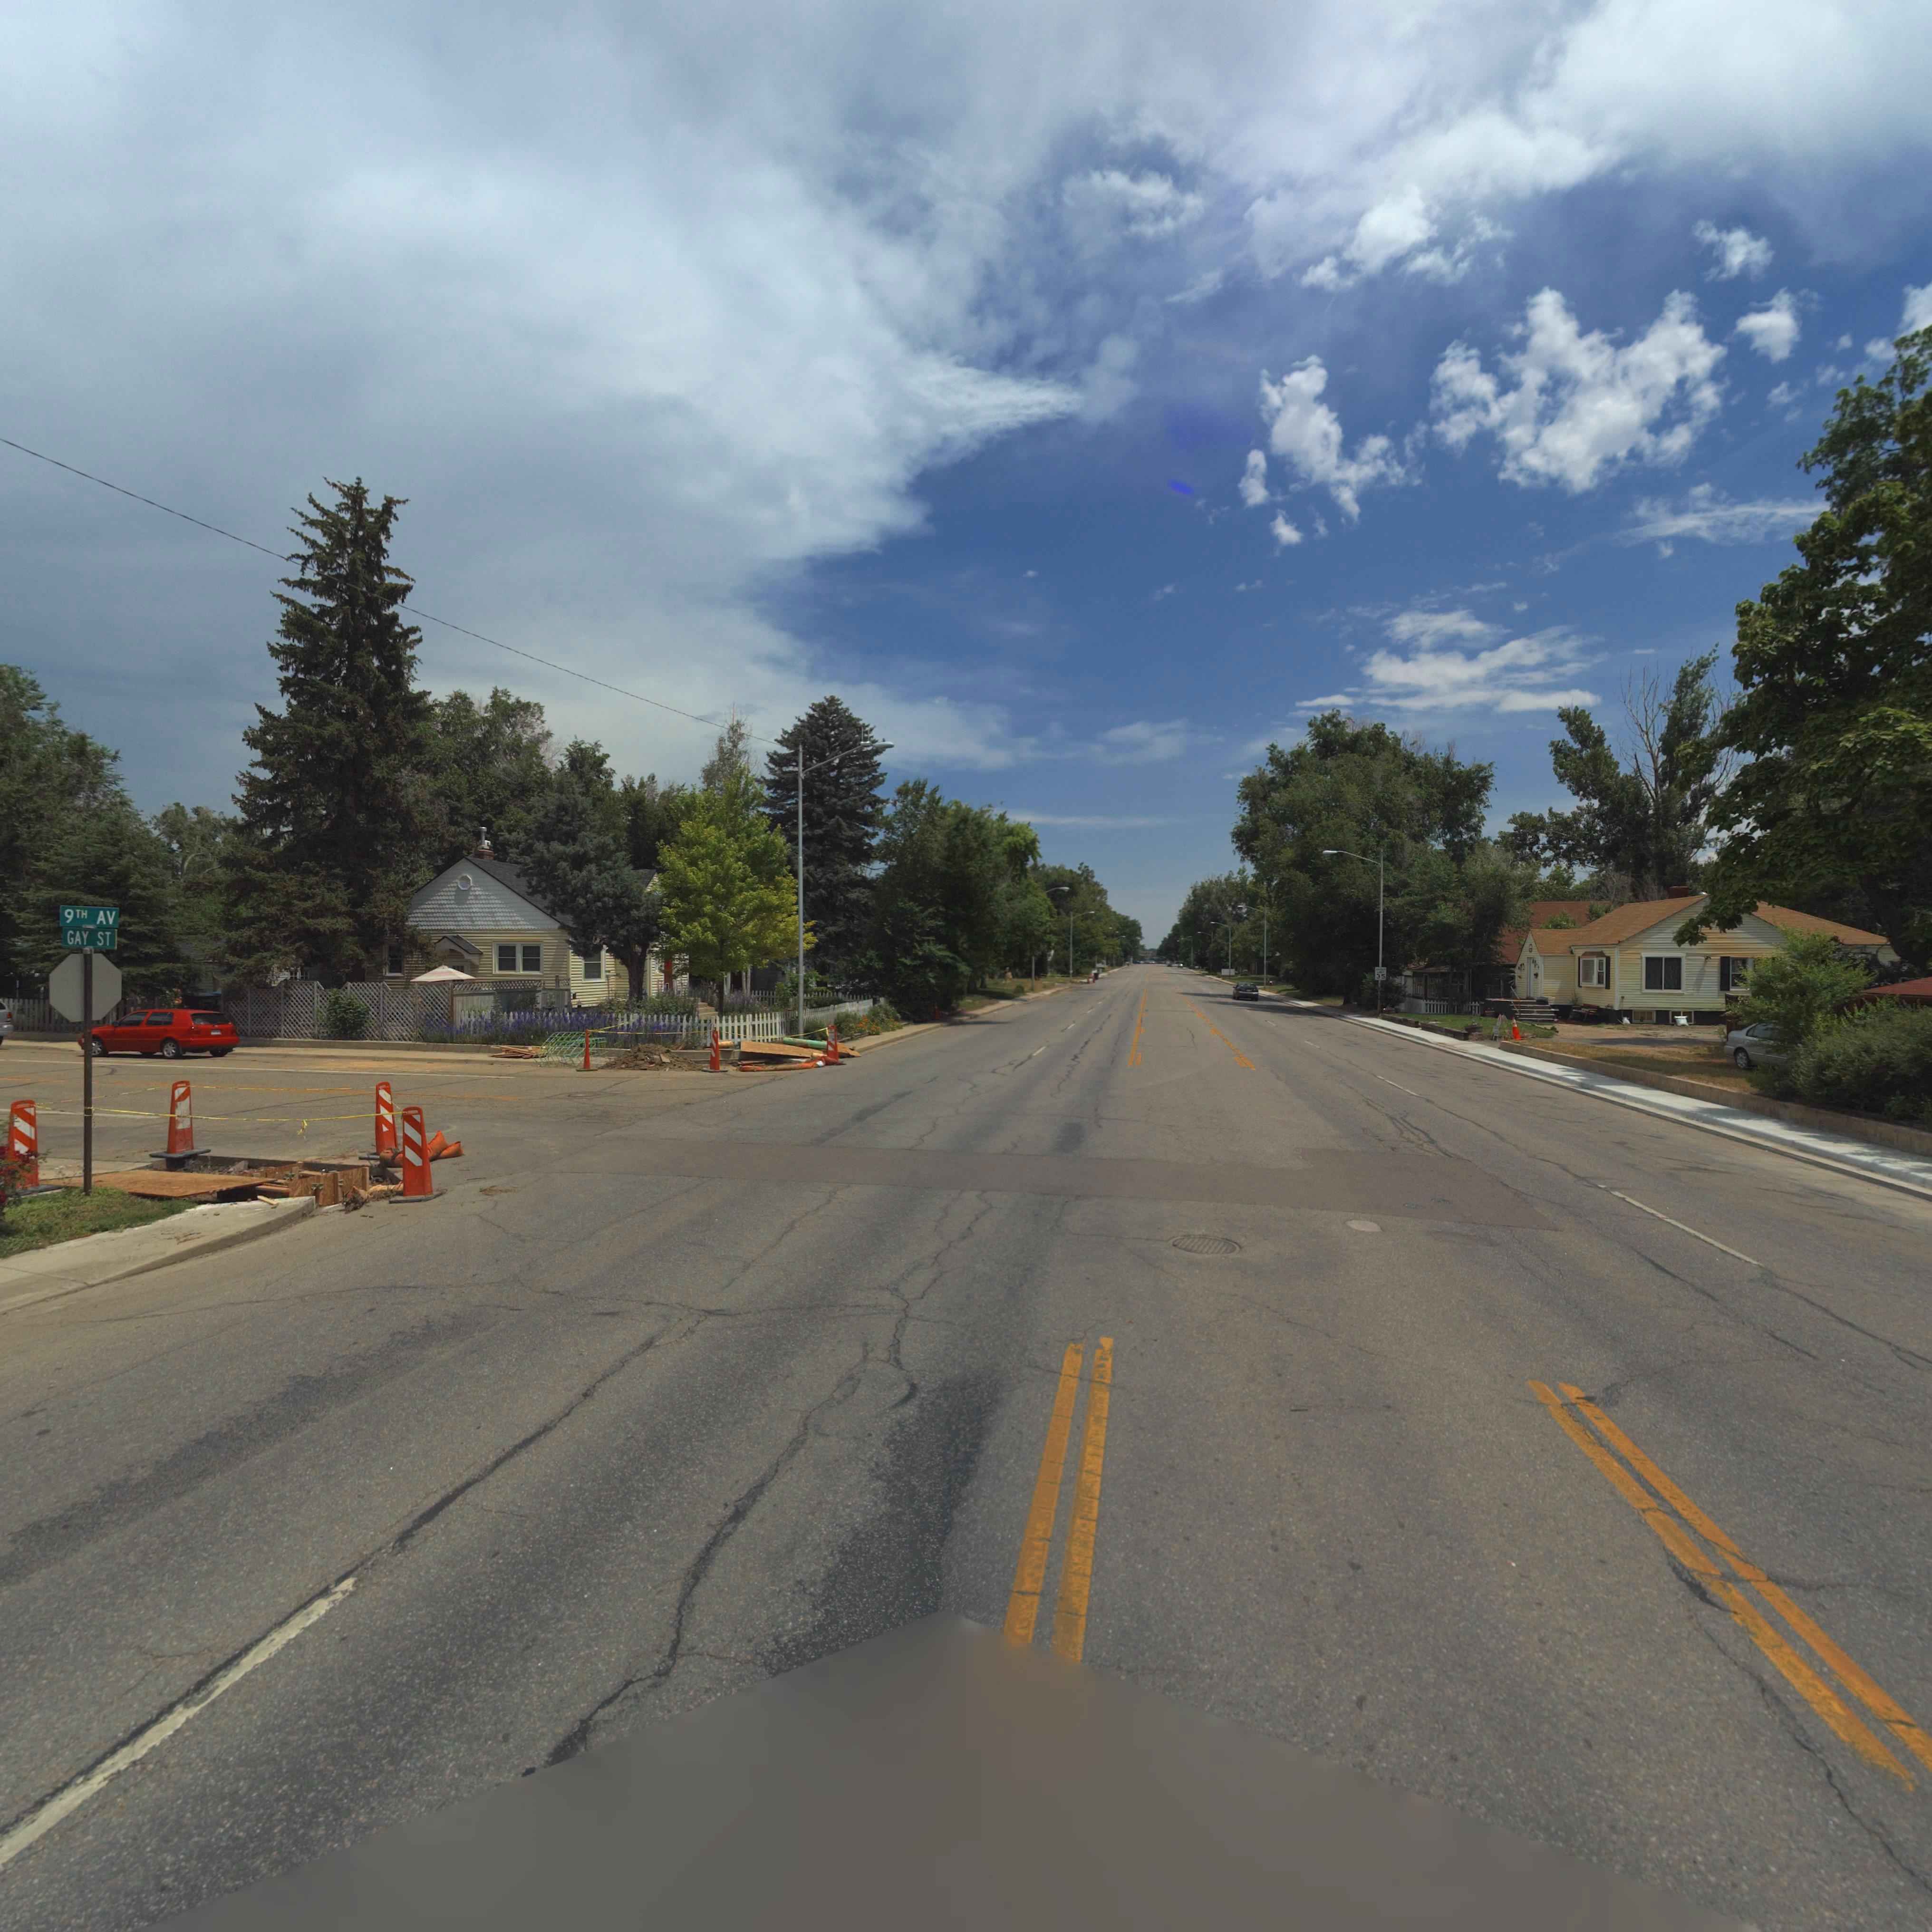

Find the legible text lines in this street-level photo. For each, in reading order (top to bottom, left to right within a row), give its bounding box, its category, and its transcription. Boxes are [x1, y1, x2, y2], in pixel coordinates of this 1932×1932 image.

[63, 908, 116, 925] StreetName: 9TH AV
[66, 929, 112, 947] StreetName: GAY ST